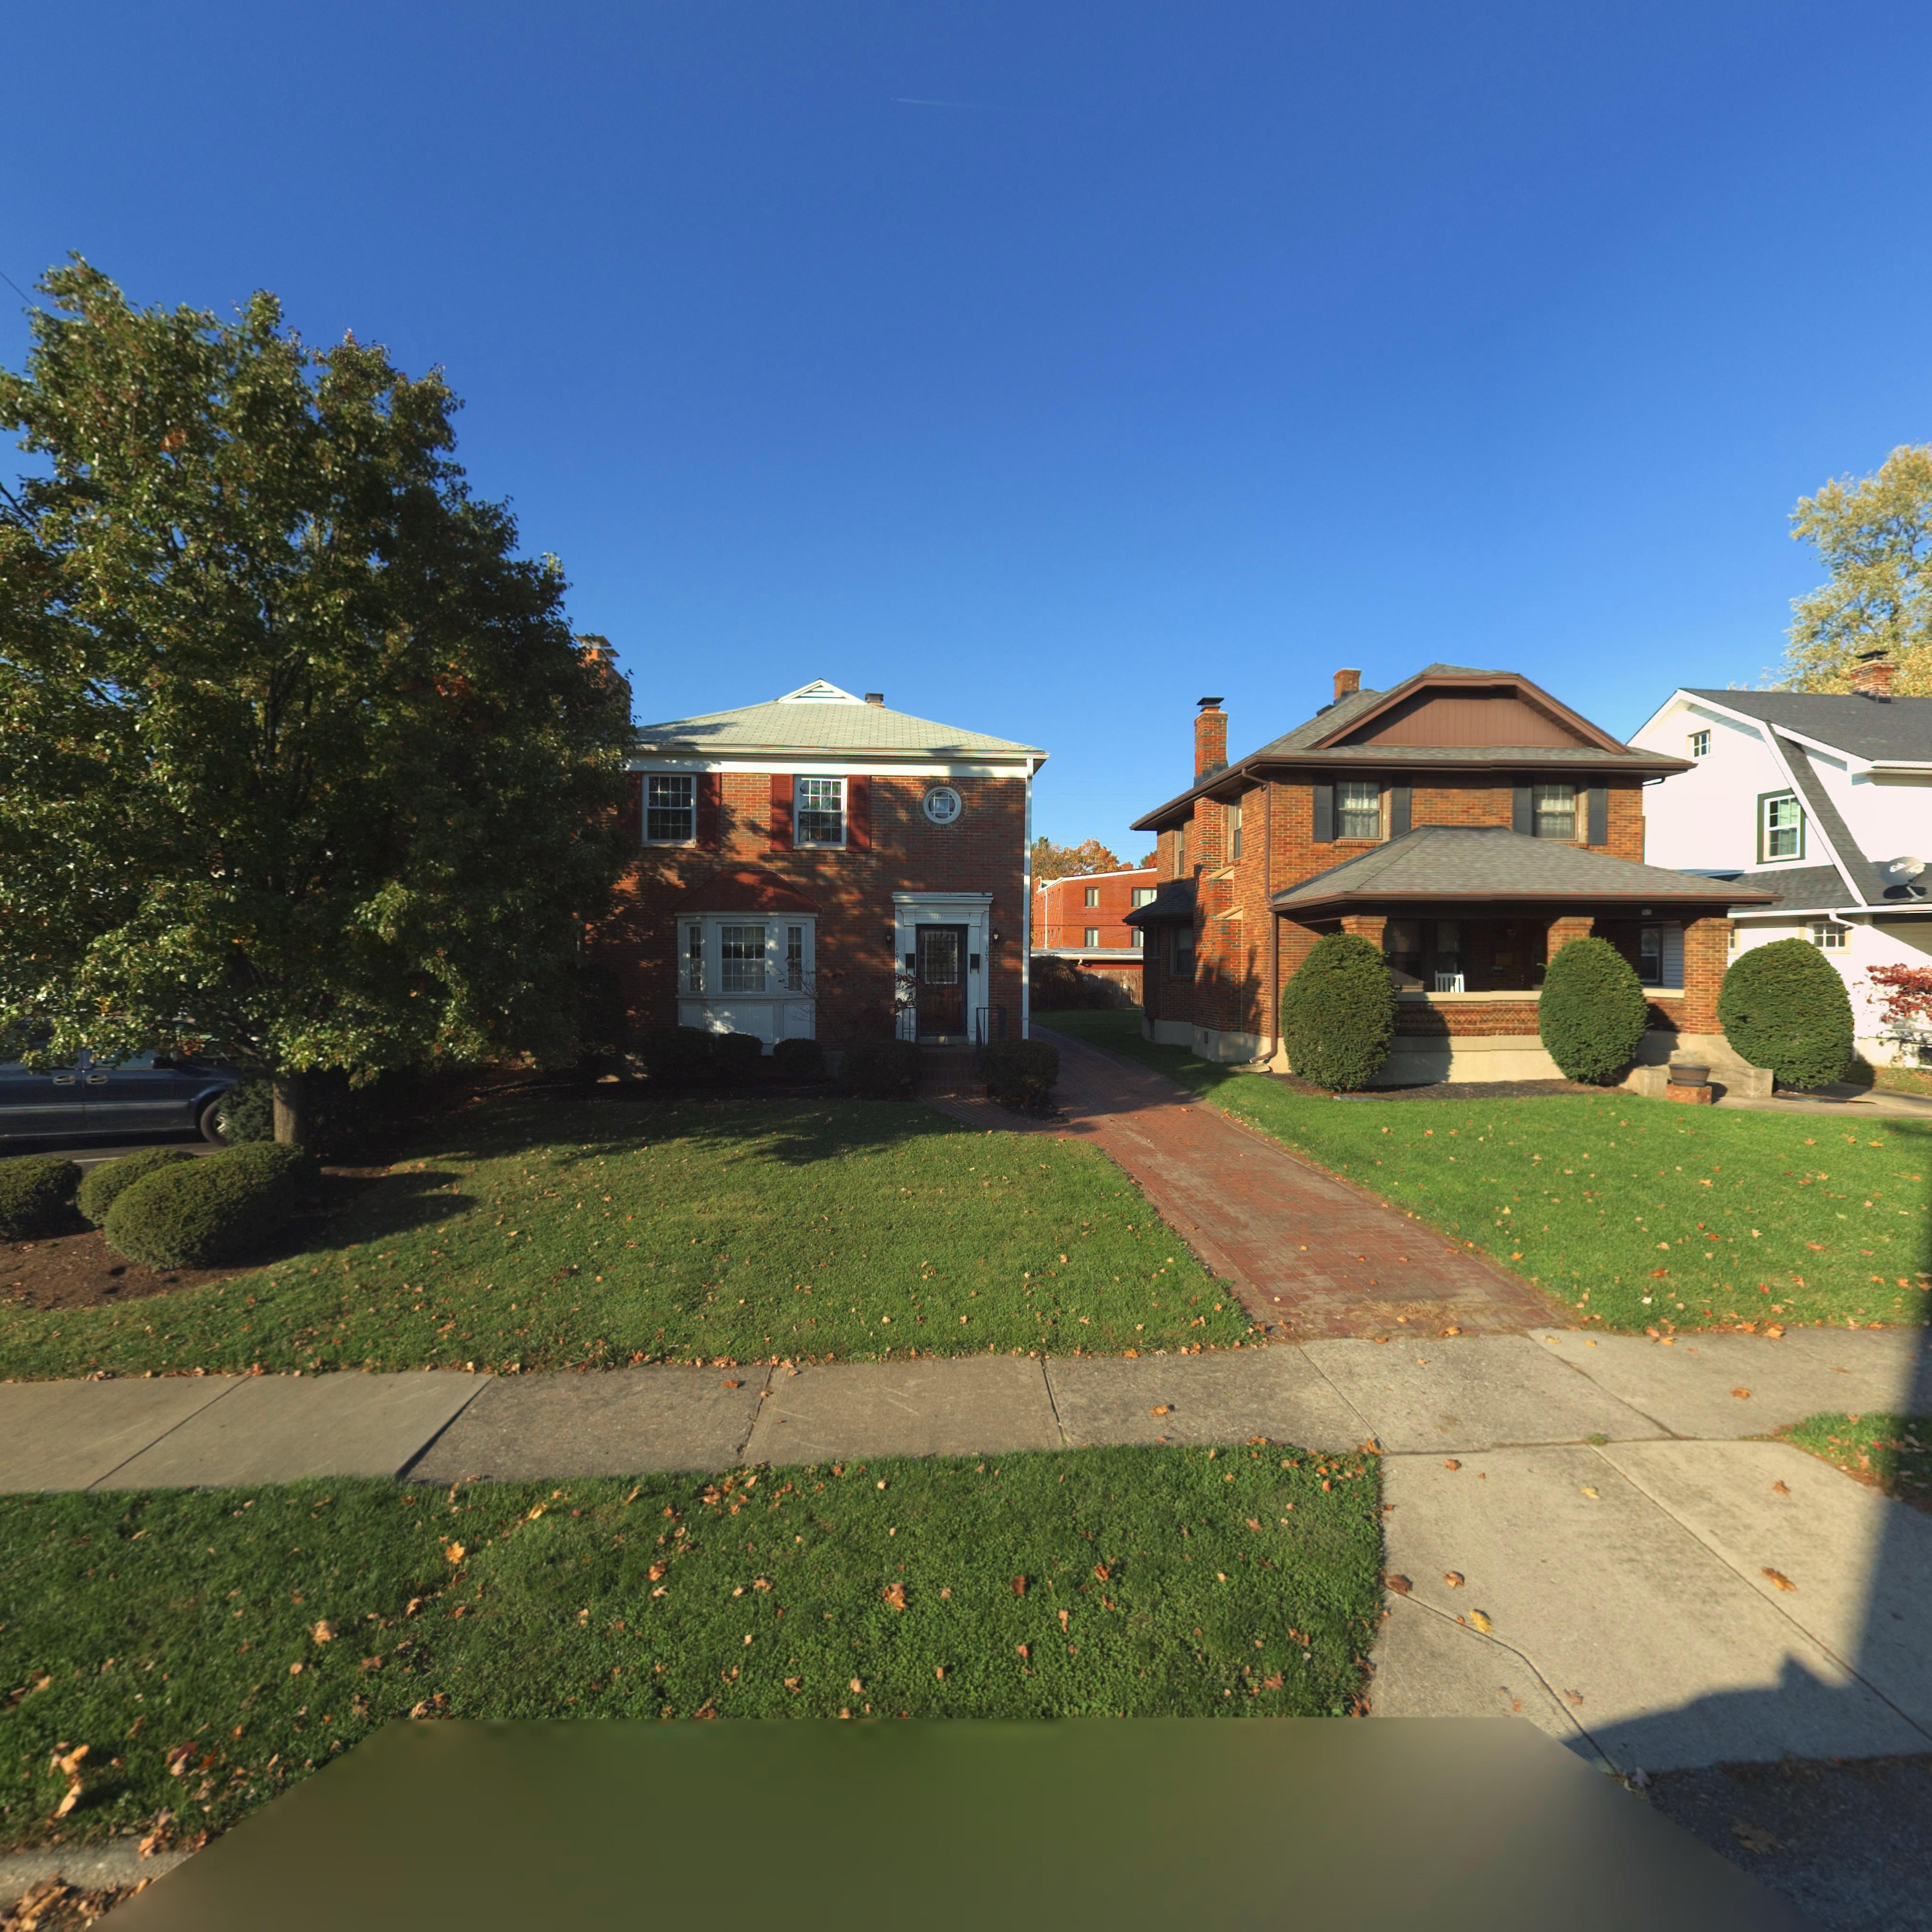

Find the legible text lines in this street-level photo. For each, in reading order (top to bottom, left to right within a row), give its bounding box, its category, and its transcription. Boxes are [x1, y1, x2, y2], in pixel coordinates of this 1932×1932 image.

[1641, 908, 1651, 915] StreetNumber: *05
[895, 946, 899, 963] StreetNumber: 101
[985, 946, 989, 962] StreetNumber: 103